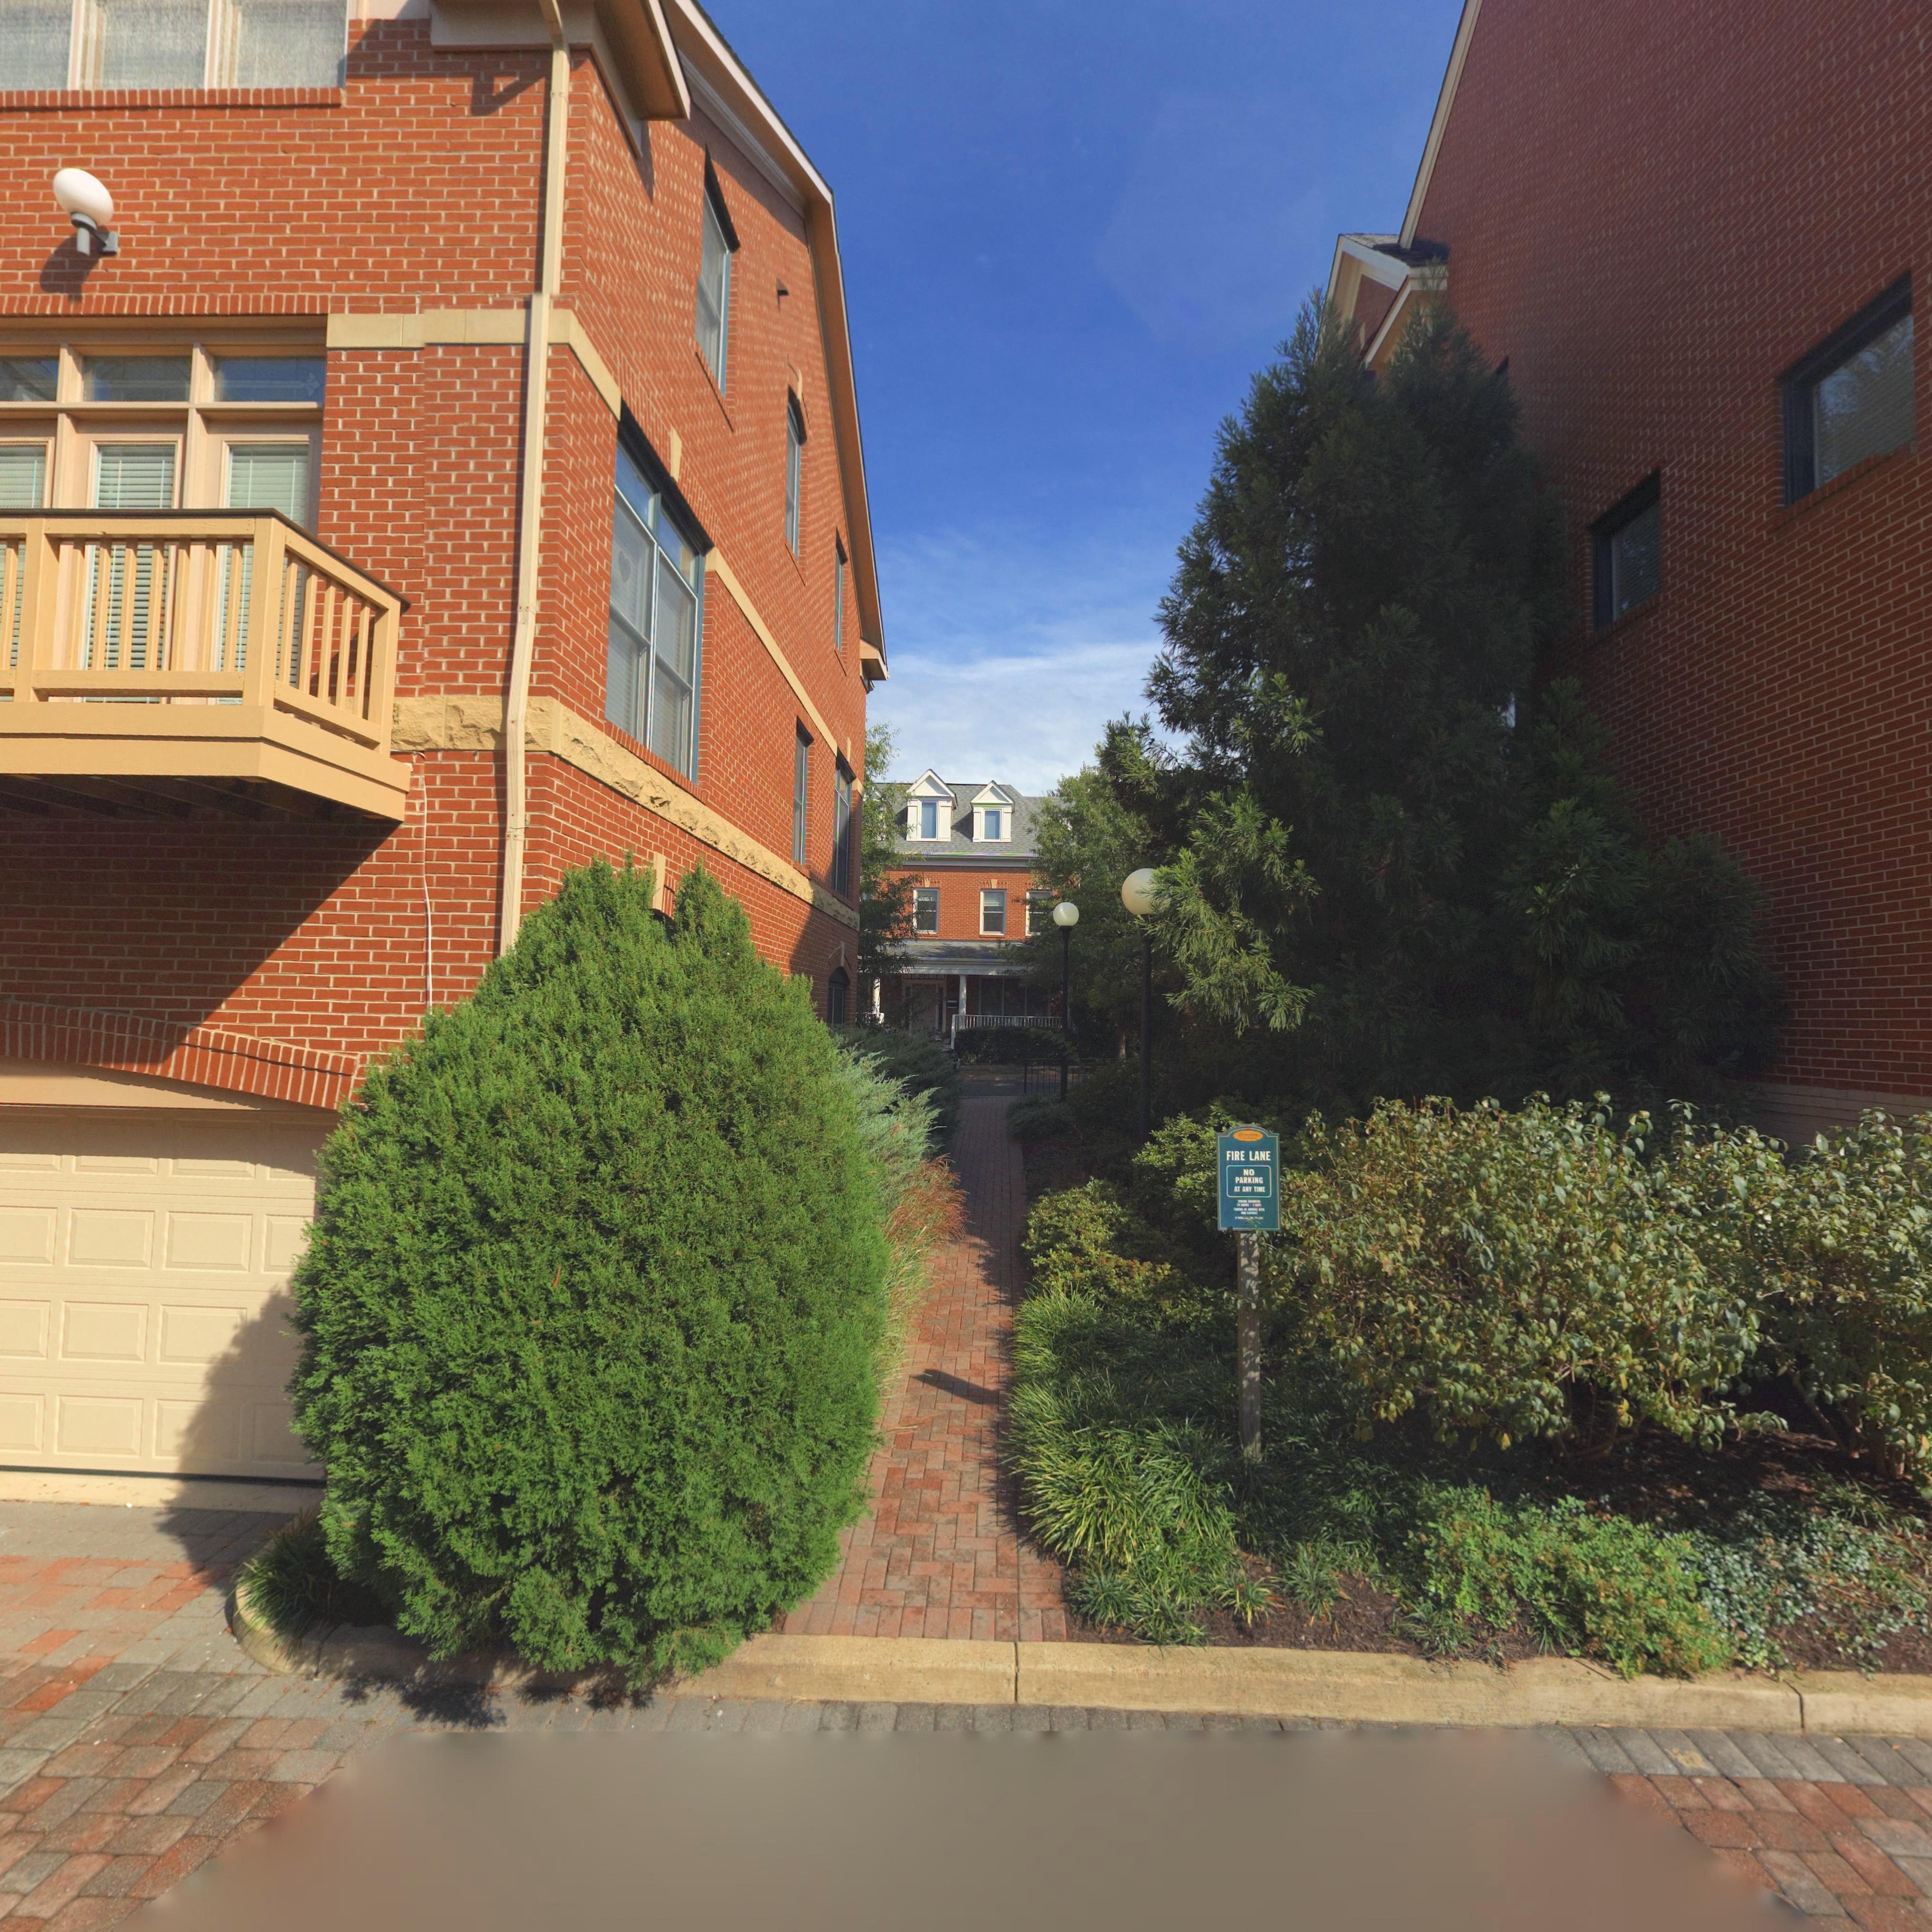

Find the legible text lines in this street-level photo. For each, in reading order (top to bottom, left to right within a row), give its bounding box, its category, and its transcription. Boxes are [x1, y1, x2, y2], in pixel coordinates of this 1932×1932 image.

[1226, 1150, 1271, 1161] None: FIRE LANE
[1242, 1169, 1255, 1176] None: NO
[1235, 1176, 1264, 1184] None: PARKING
[1233, 1186, 1265, 1193] None: AT ANY TIME